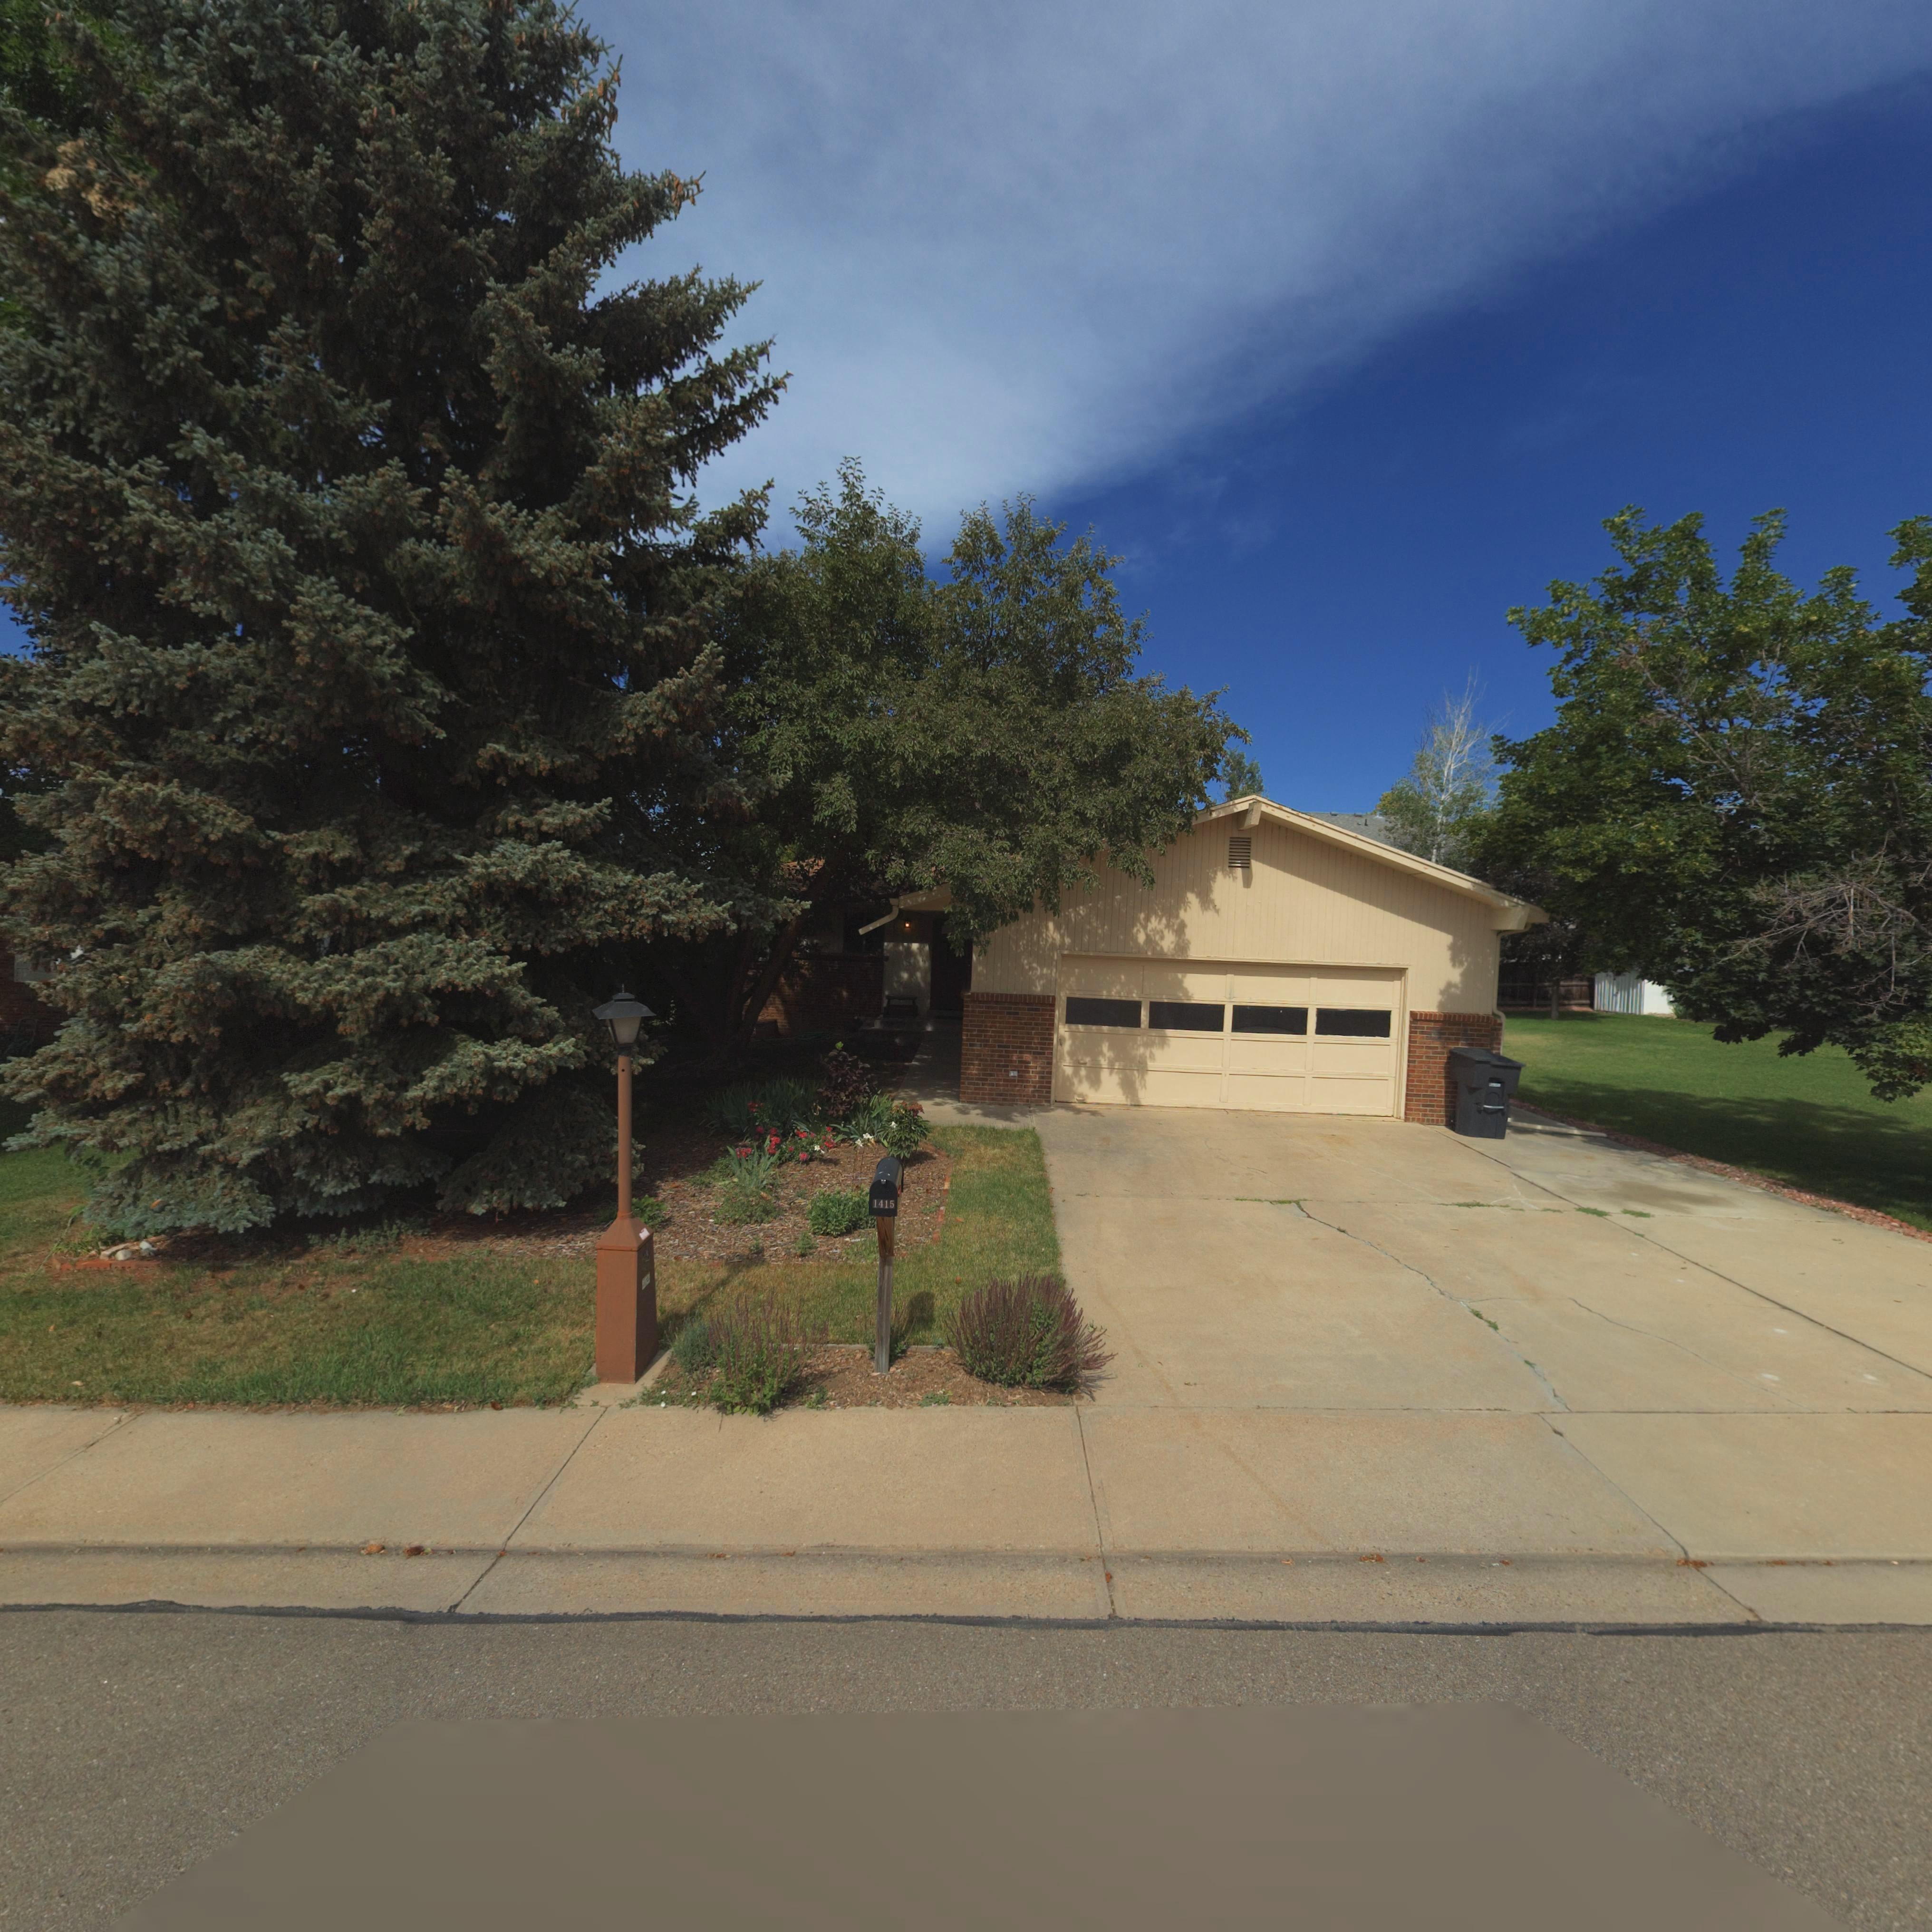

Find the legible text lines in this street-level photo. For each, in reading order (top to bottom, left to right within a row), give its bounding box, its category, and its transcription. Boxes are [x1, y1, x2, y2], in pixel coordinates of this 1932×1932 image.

[873, 1199, 895, 1209] StreetNumber: 1415